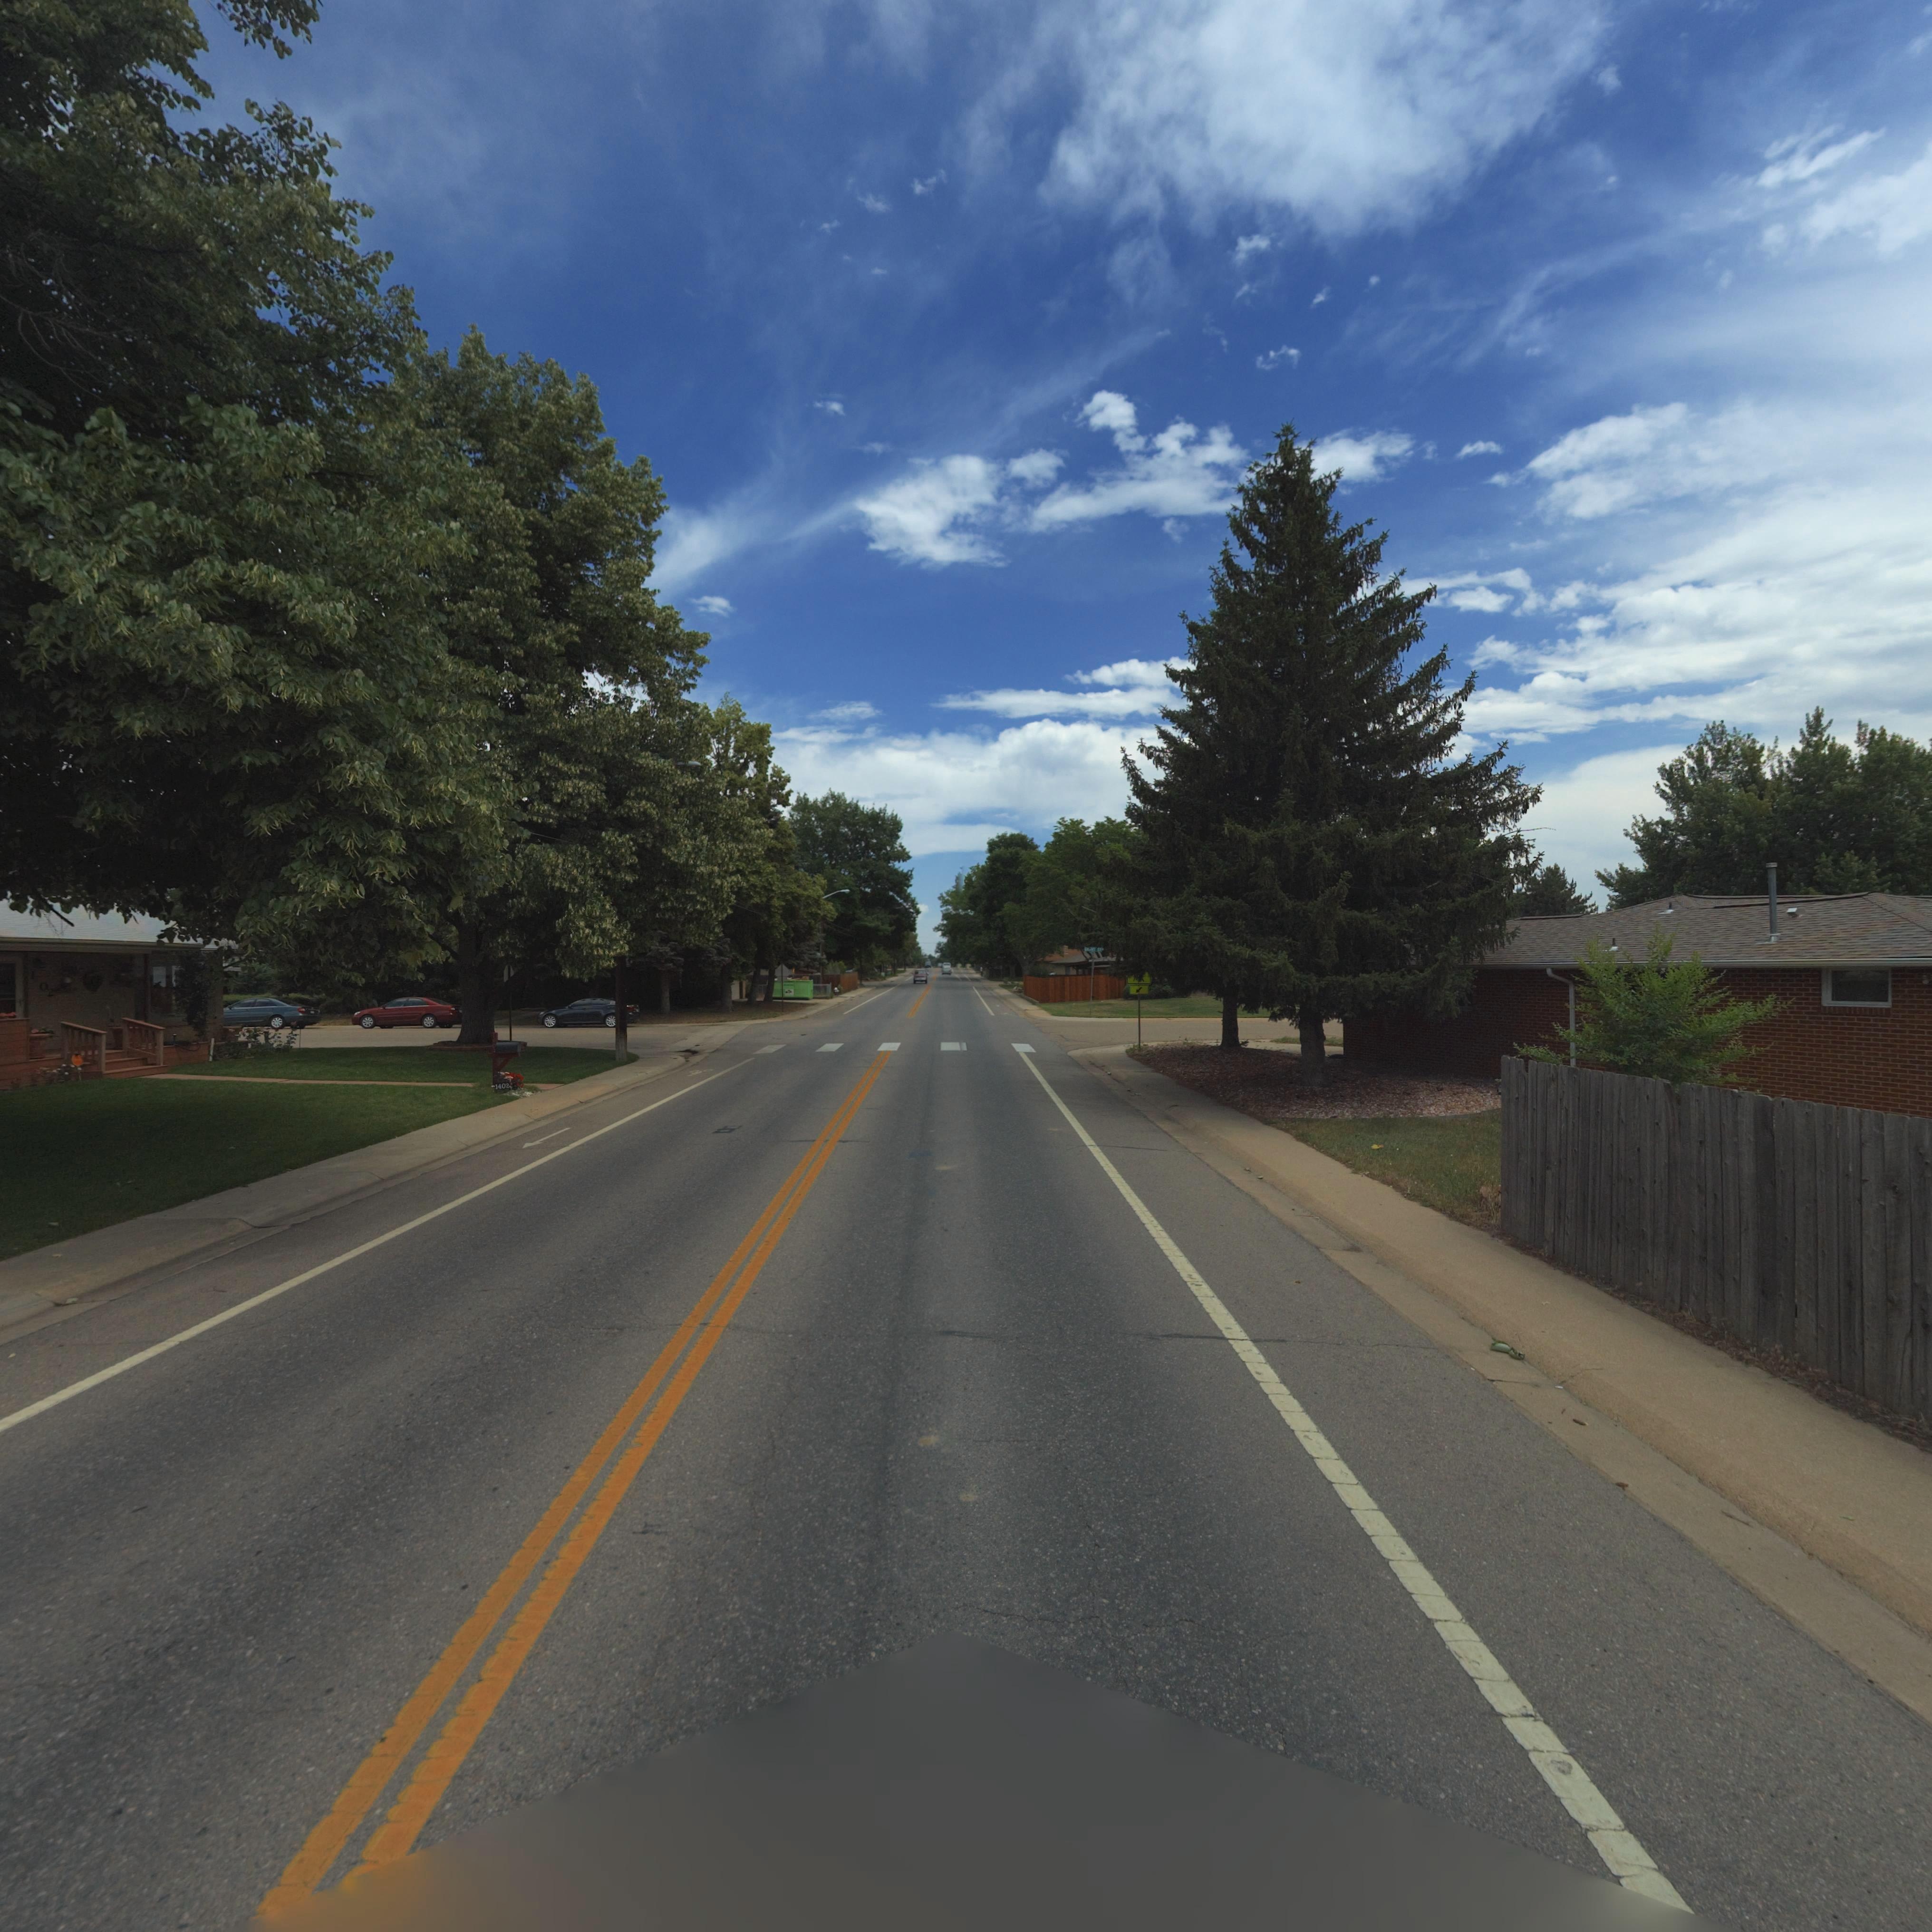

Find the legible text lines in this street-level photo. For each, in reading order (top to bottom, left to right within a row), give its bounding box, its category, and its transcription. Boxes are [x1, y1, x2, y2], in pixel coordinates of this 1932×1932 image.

[29, 968, 55, 996] StreetNumber: 1*02
[495, 1082, 509, 1090] StreetNumber: 1402